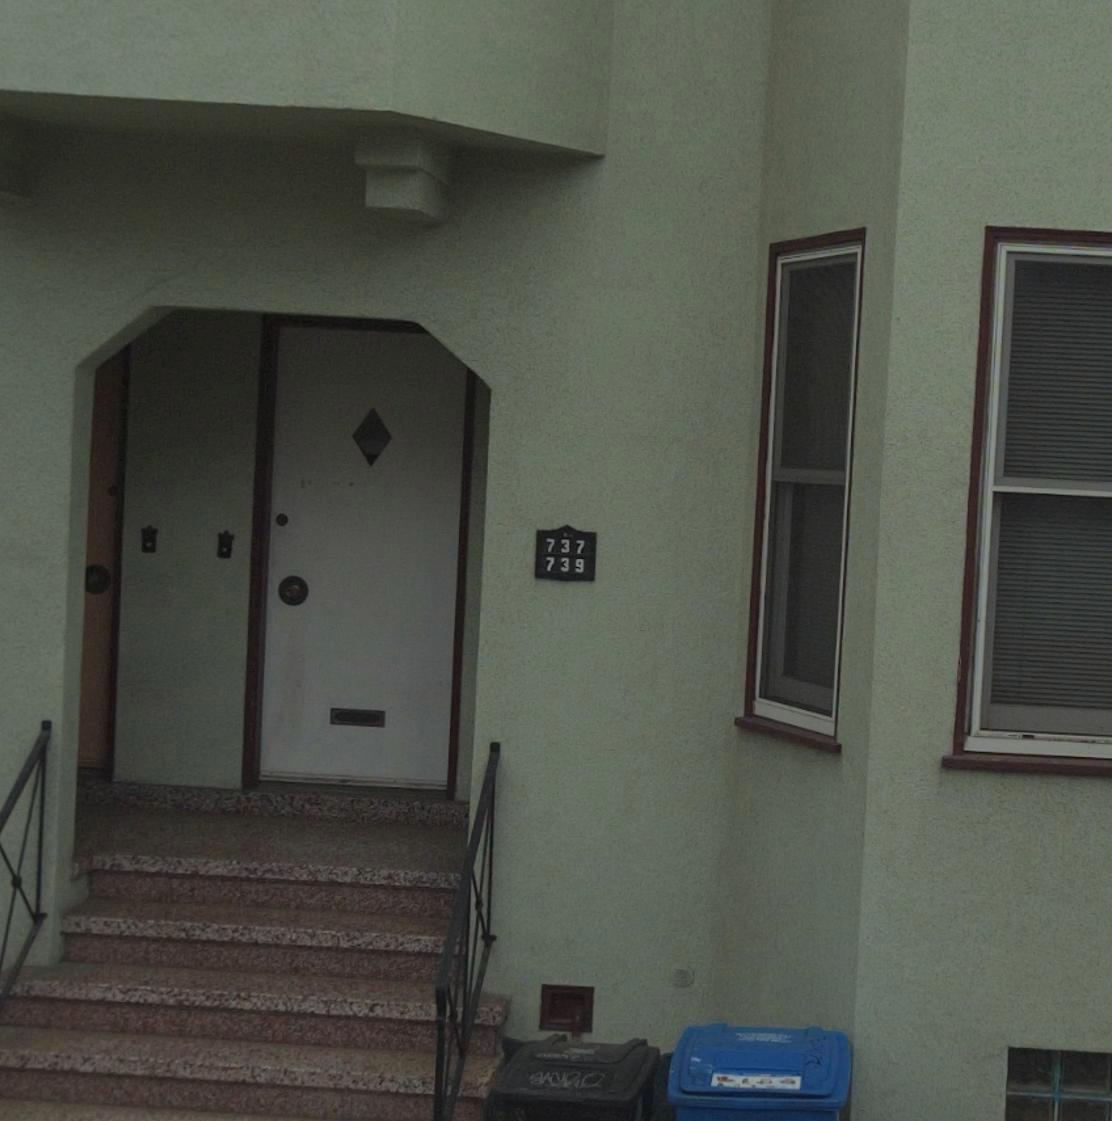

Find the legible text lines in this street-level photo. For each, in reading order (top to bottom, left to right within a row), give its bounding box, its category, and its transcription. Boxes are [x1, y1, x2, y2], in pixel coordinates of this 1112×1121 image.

[544, 536, 587, 556] StreetNumber: 737
[544, 556, 586, 573] StreetNumber: 739